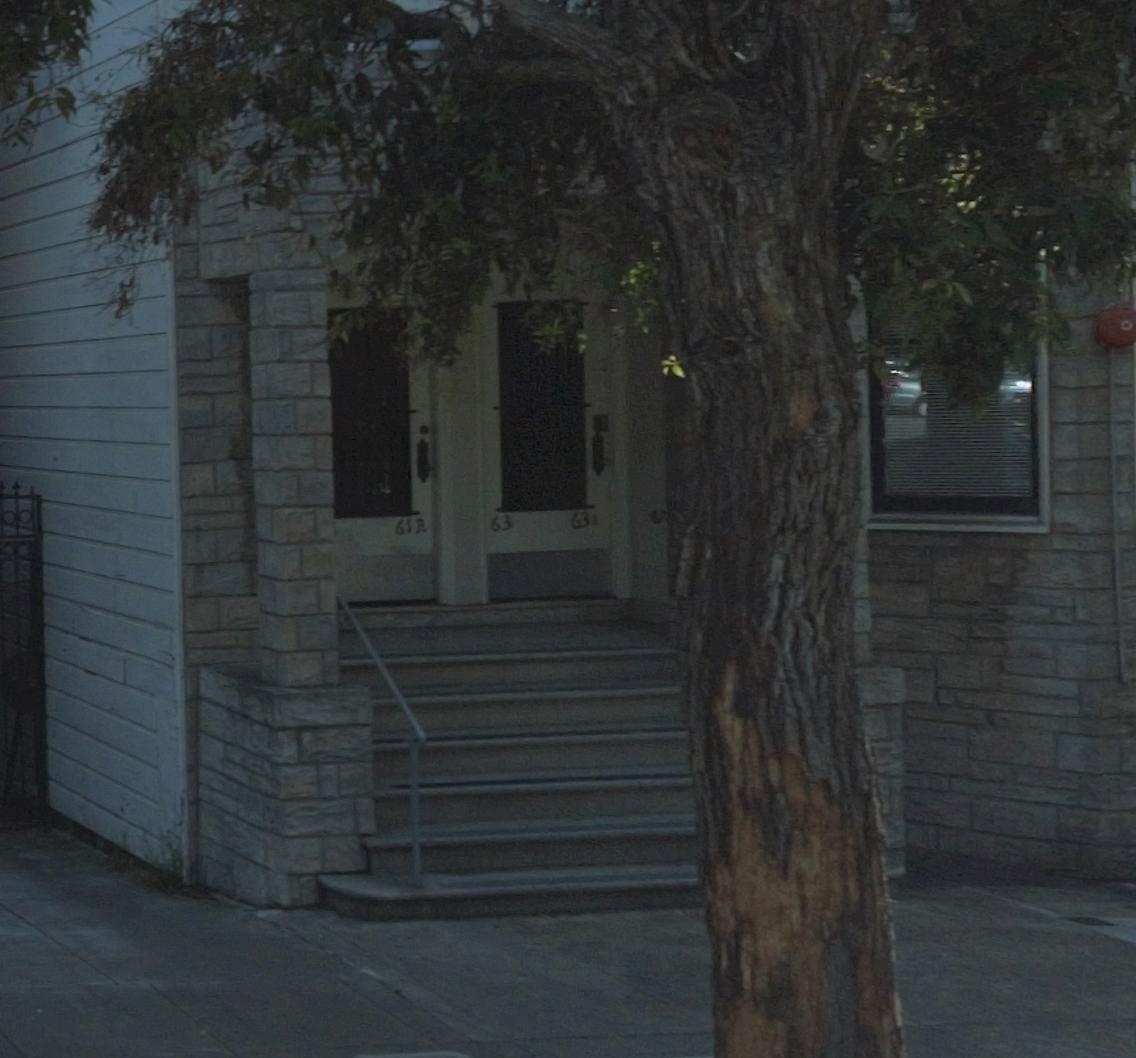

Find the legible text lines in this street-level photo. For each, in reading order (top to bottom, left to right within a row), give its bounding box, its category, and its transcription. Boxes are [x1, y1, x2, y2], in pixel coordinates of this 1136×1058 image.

[393, 517, 429, 535] StreetNumber: 61A
[490, 513, 513, 533] StreetNumber: 63
[569, 510, 600, 529] StreetNumber: 63A